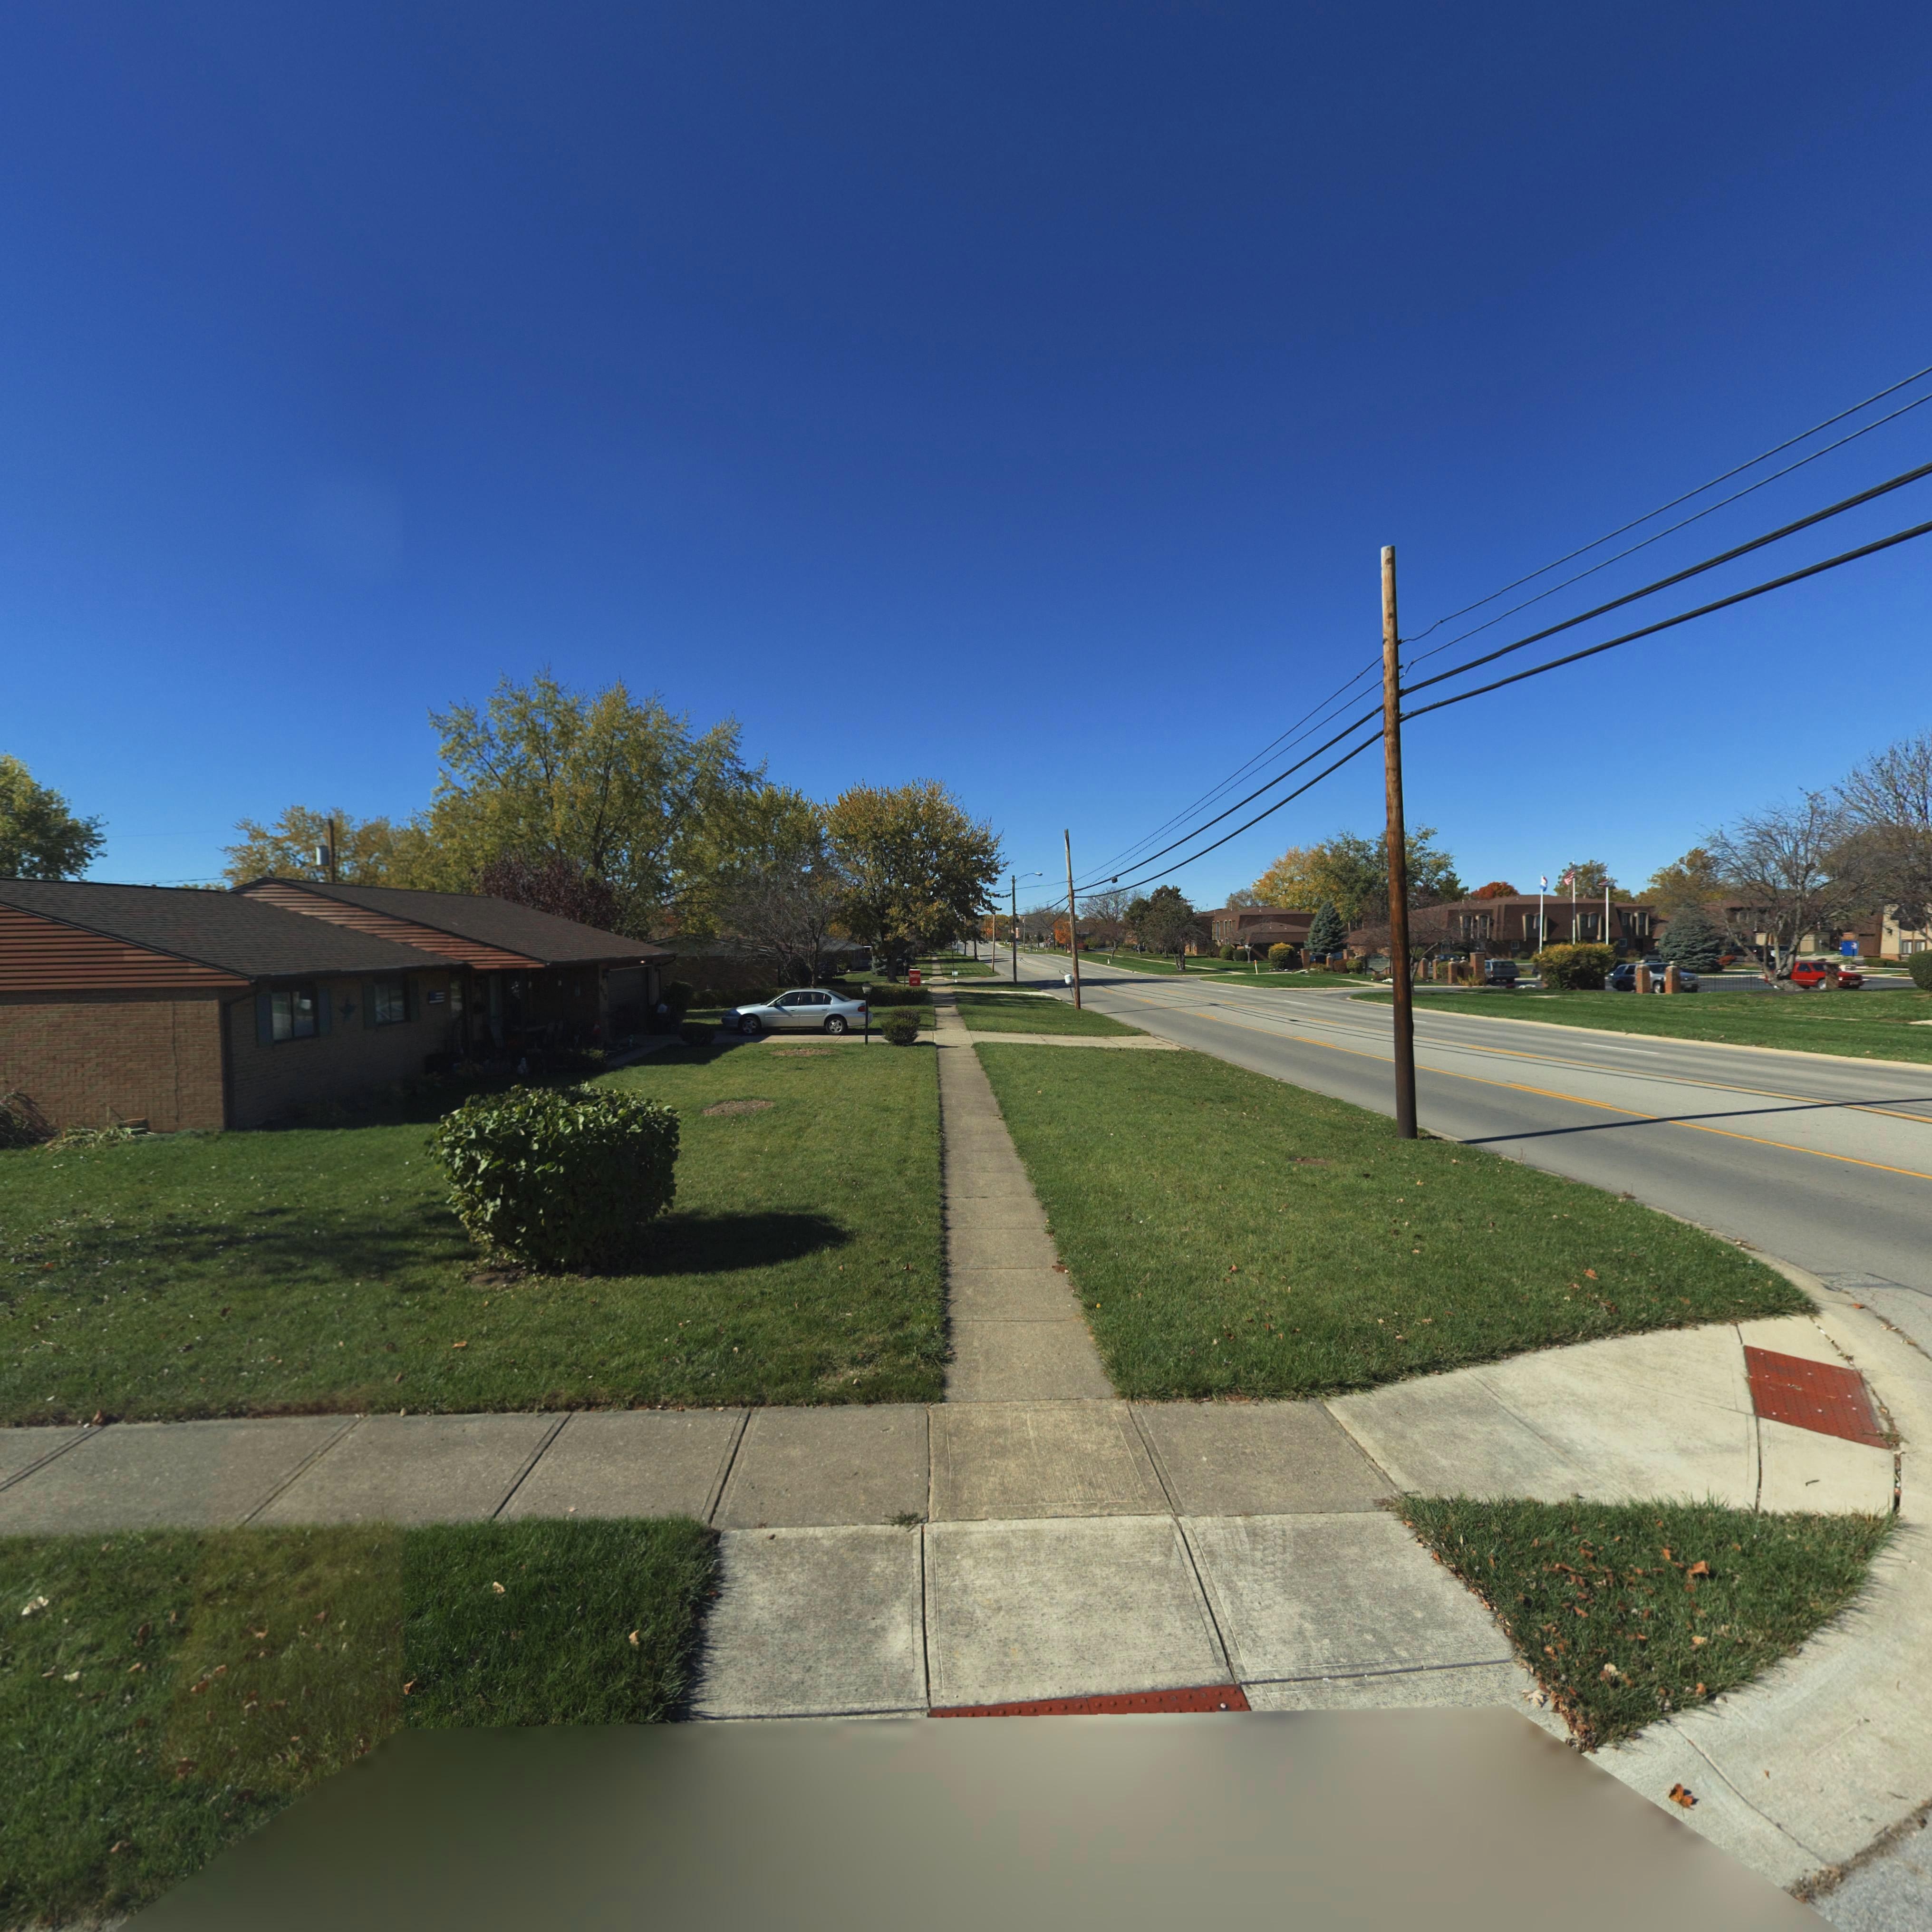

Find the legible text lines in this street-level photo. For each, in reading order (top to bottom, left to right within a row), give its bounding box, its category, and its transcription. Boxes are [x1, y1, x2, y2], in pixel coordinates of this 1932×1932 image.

[603, 994, 608, 1001] StreetNumber: 0